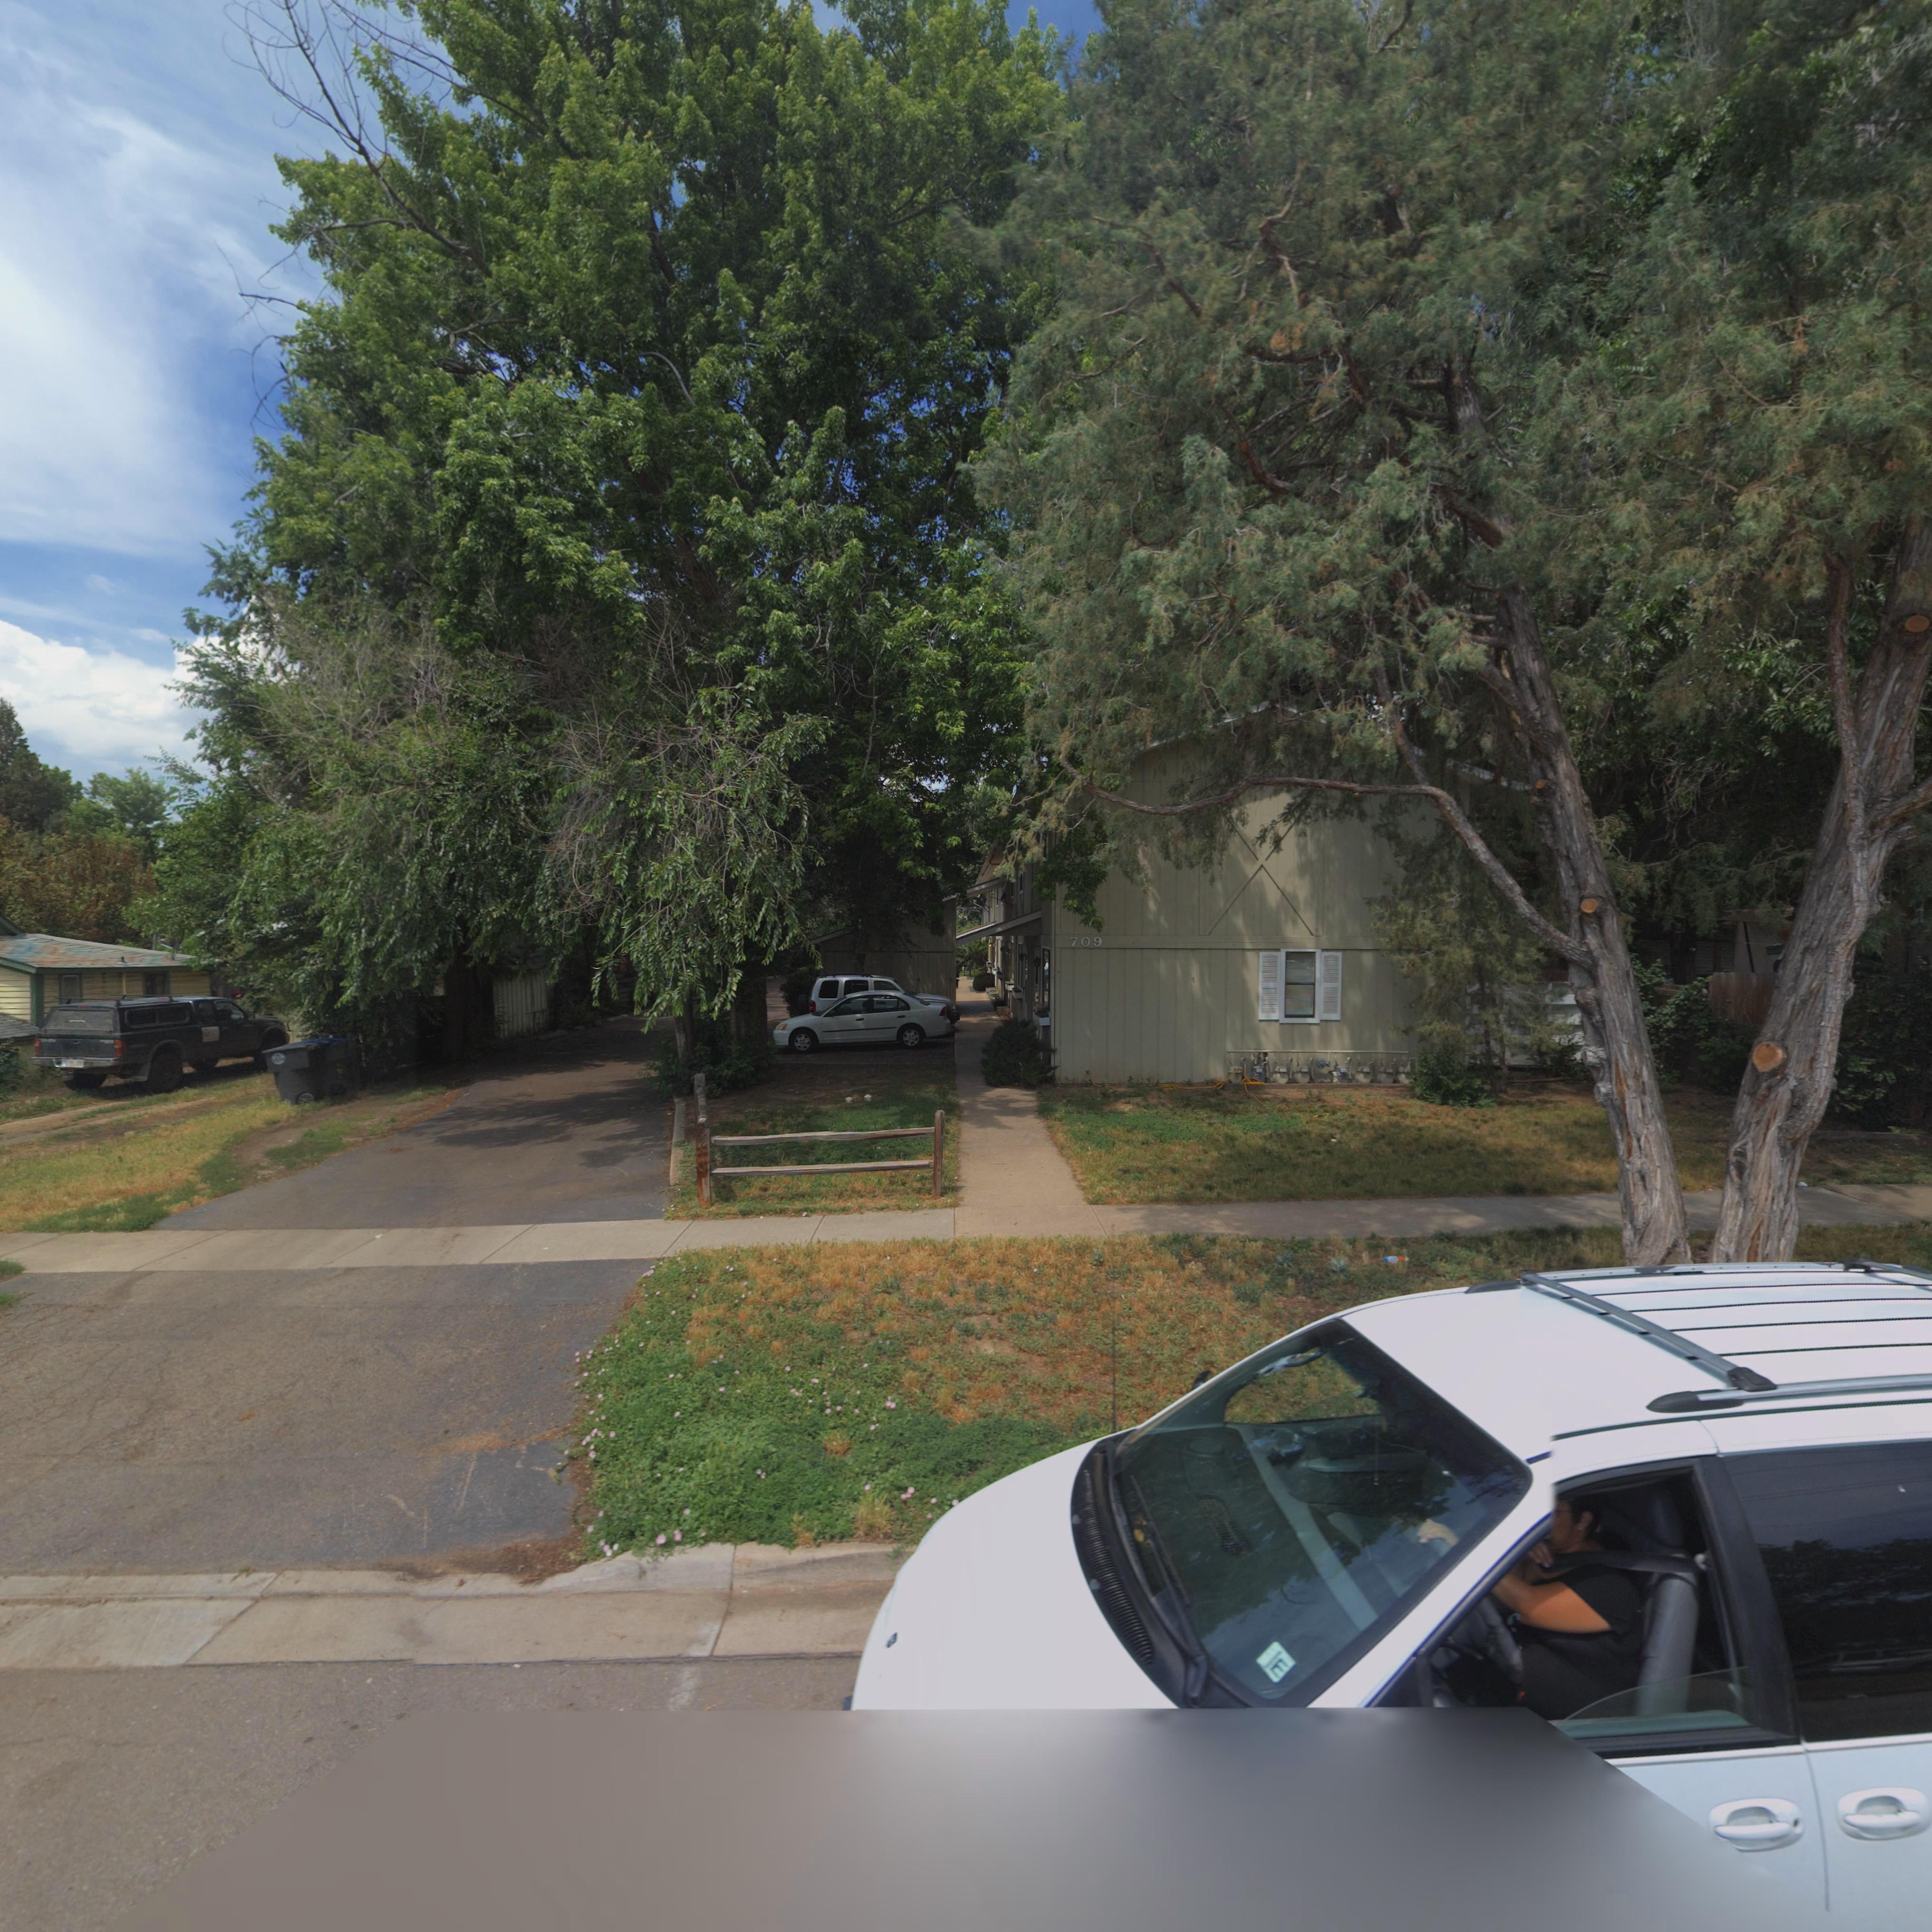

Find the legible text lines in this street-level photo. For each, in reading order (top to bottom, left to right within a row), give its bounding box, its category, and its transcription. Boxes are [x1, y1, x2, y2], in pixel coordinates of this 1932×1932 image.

[1070, 937, 1102, 946] StreetNumber: 709